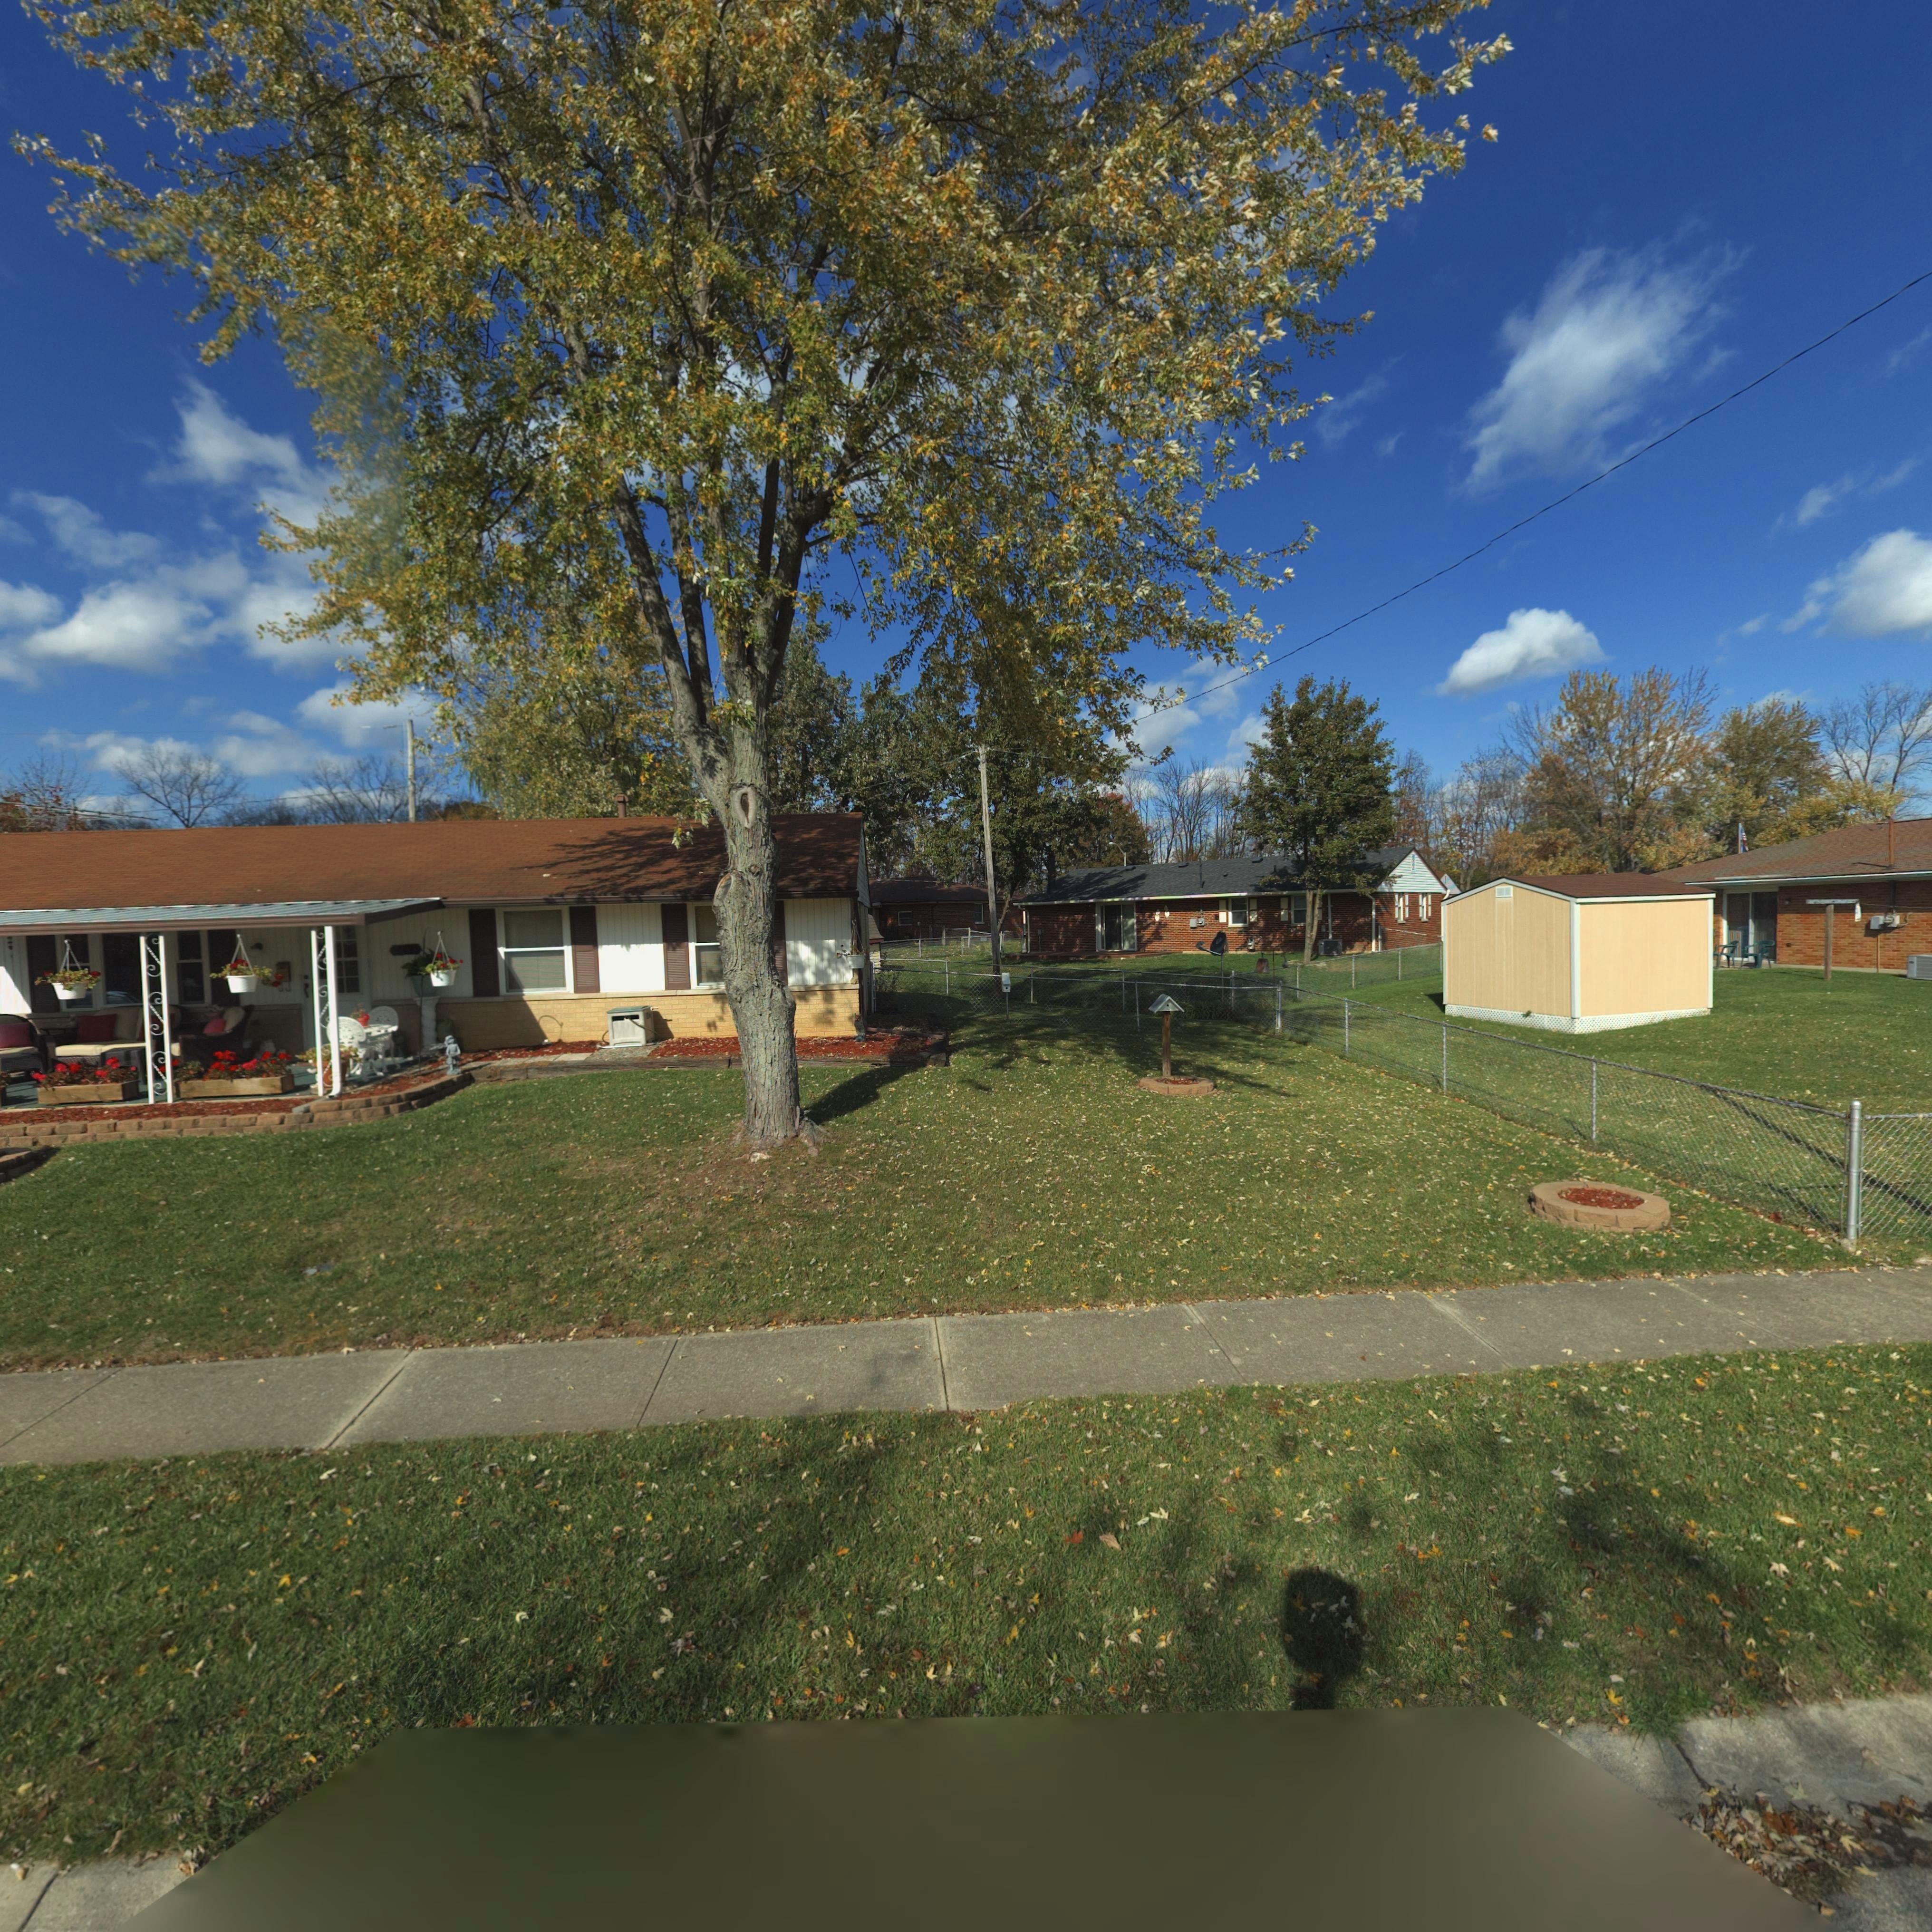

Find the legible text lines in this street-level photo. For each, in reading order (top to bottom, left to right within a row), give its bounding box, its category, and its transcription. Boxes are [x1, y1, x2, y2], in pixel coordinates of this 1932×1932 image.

[392, 945, 419, 955] StreetNumber: **6*